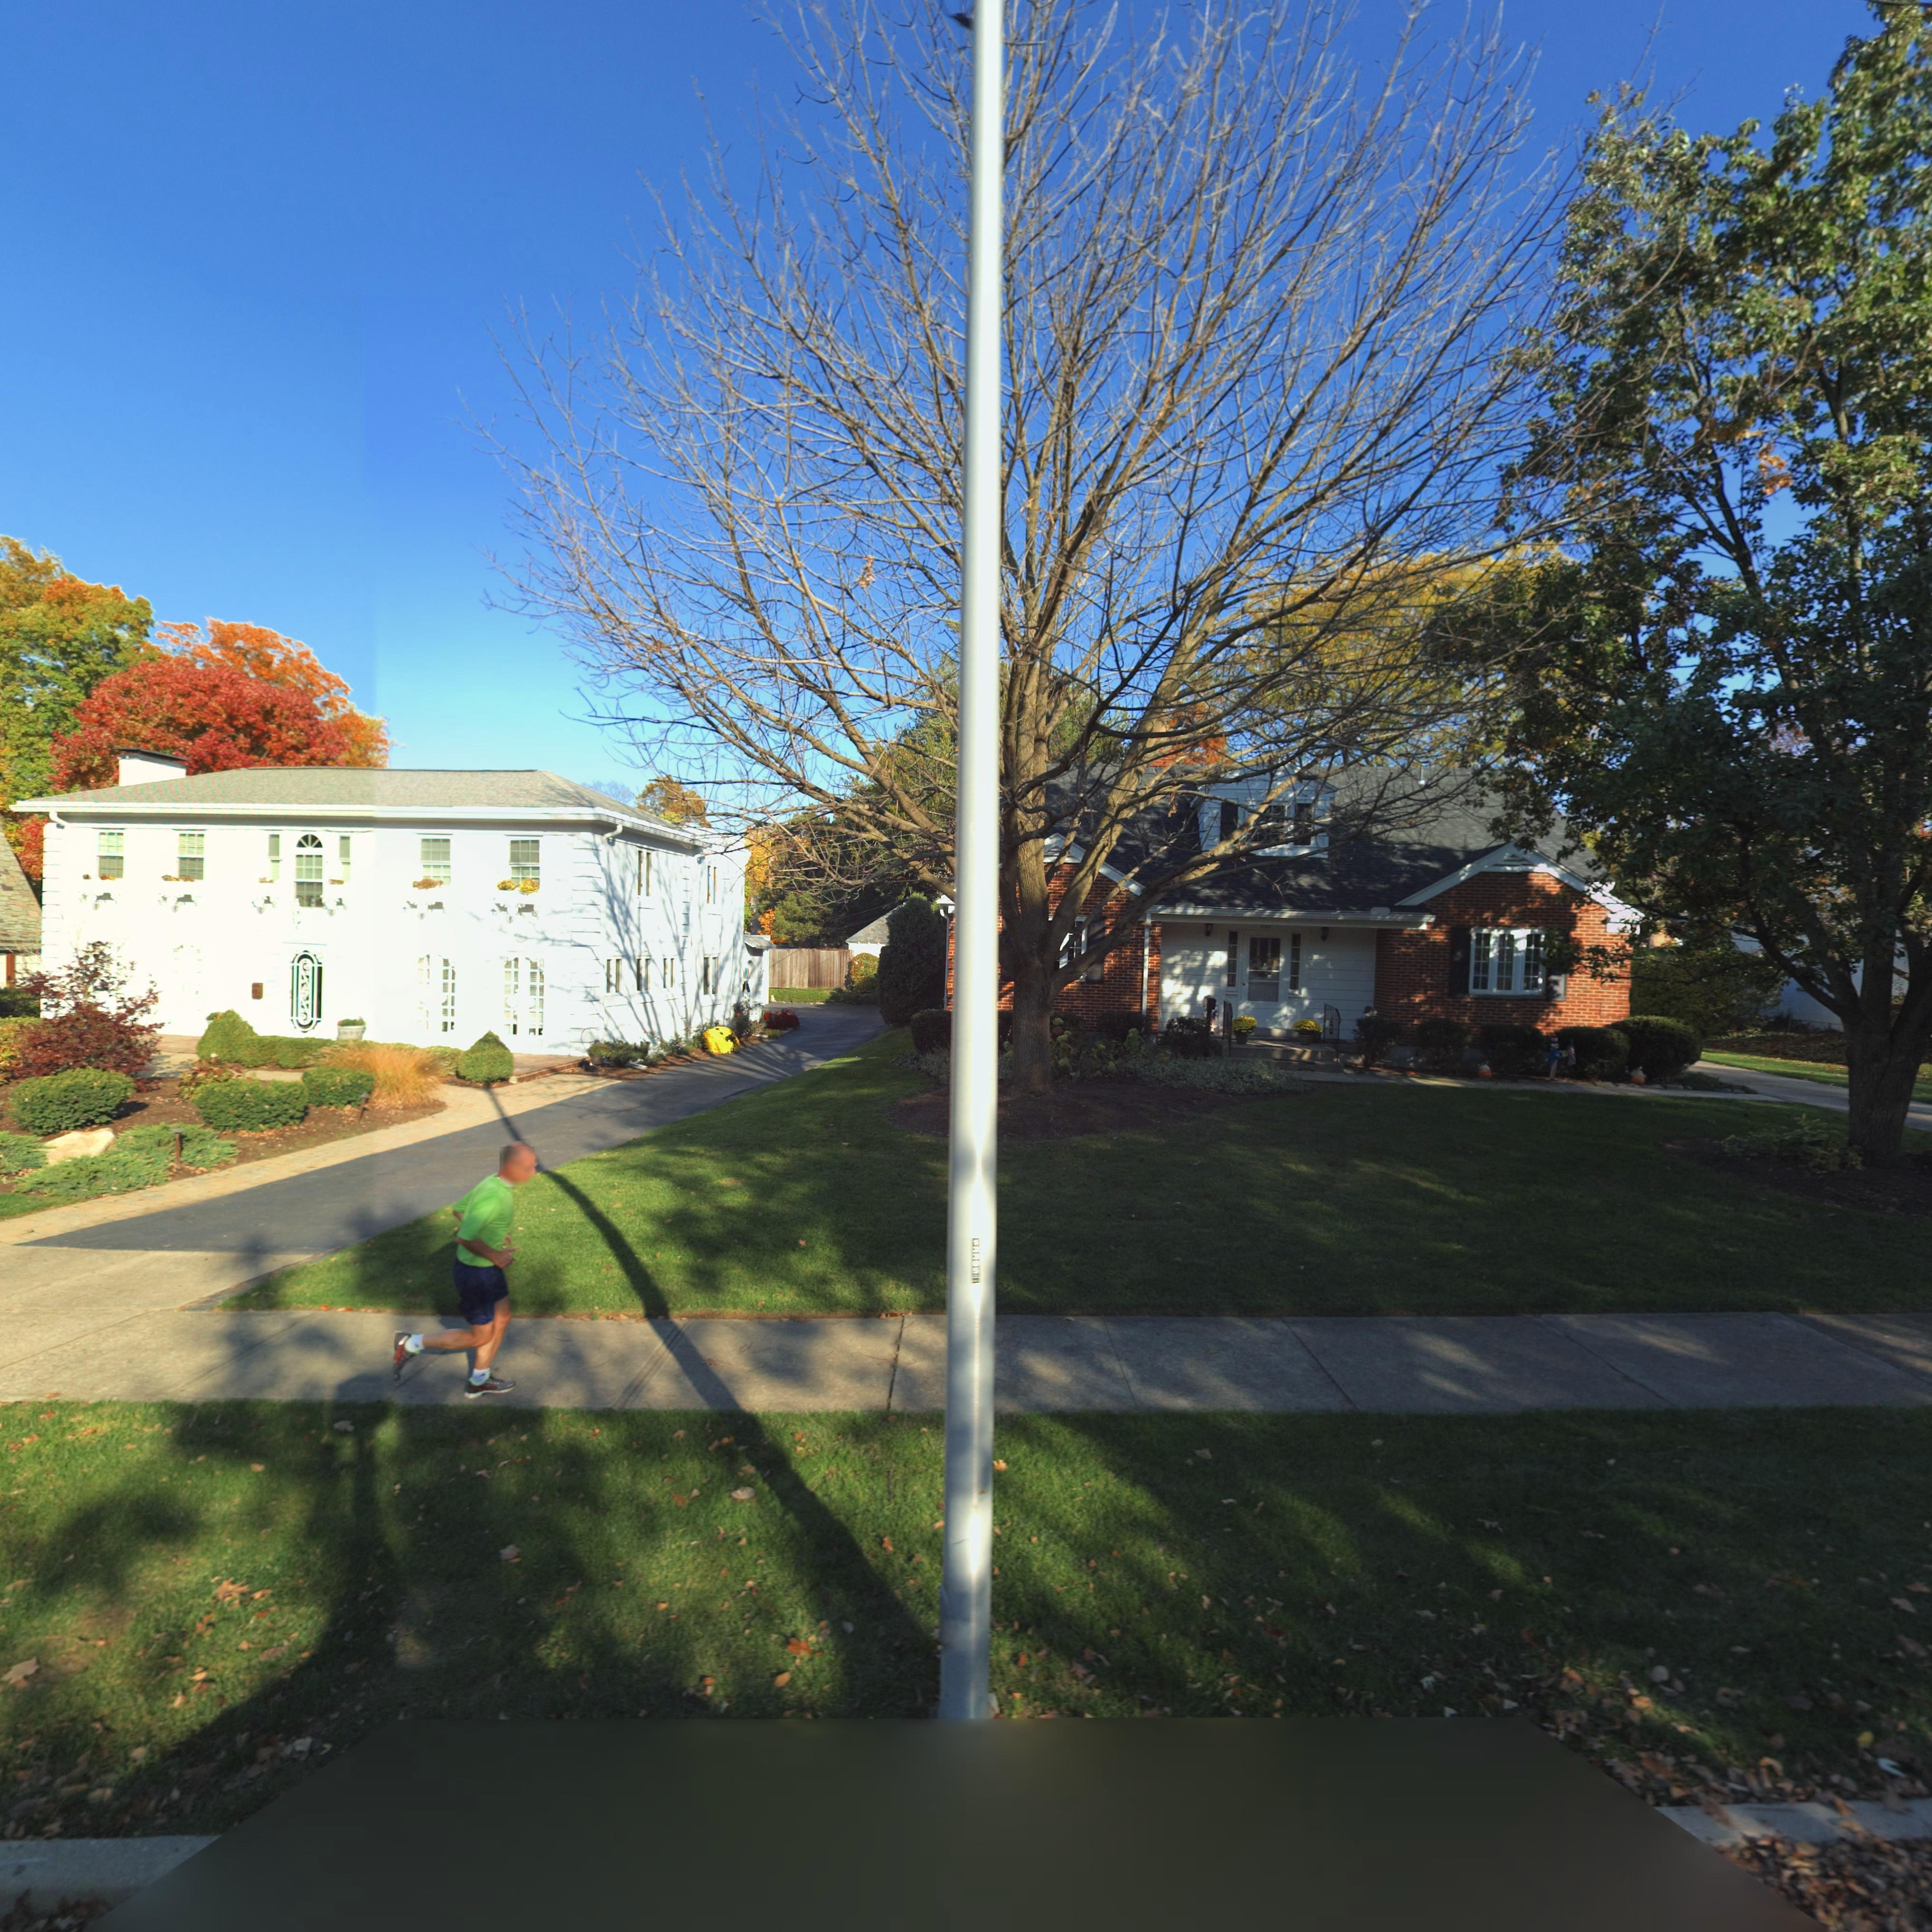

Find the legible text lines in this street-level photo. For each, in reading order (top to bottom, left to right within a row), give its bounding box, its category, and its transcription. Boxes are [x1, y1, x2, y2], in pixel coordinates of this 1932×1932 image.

[1260, 924, 1271, 929] StreetNumber: 440